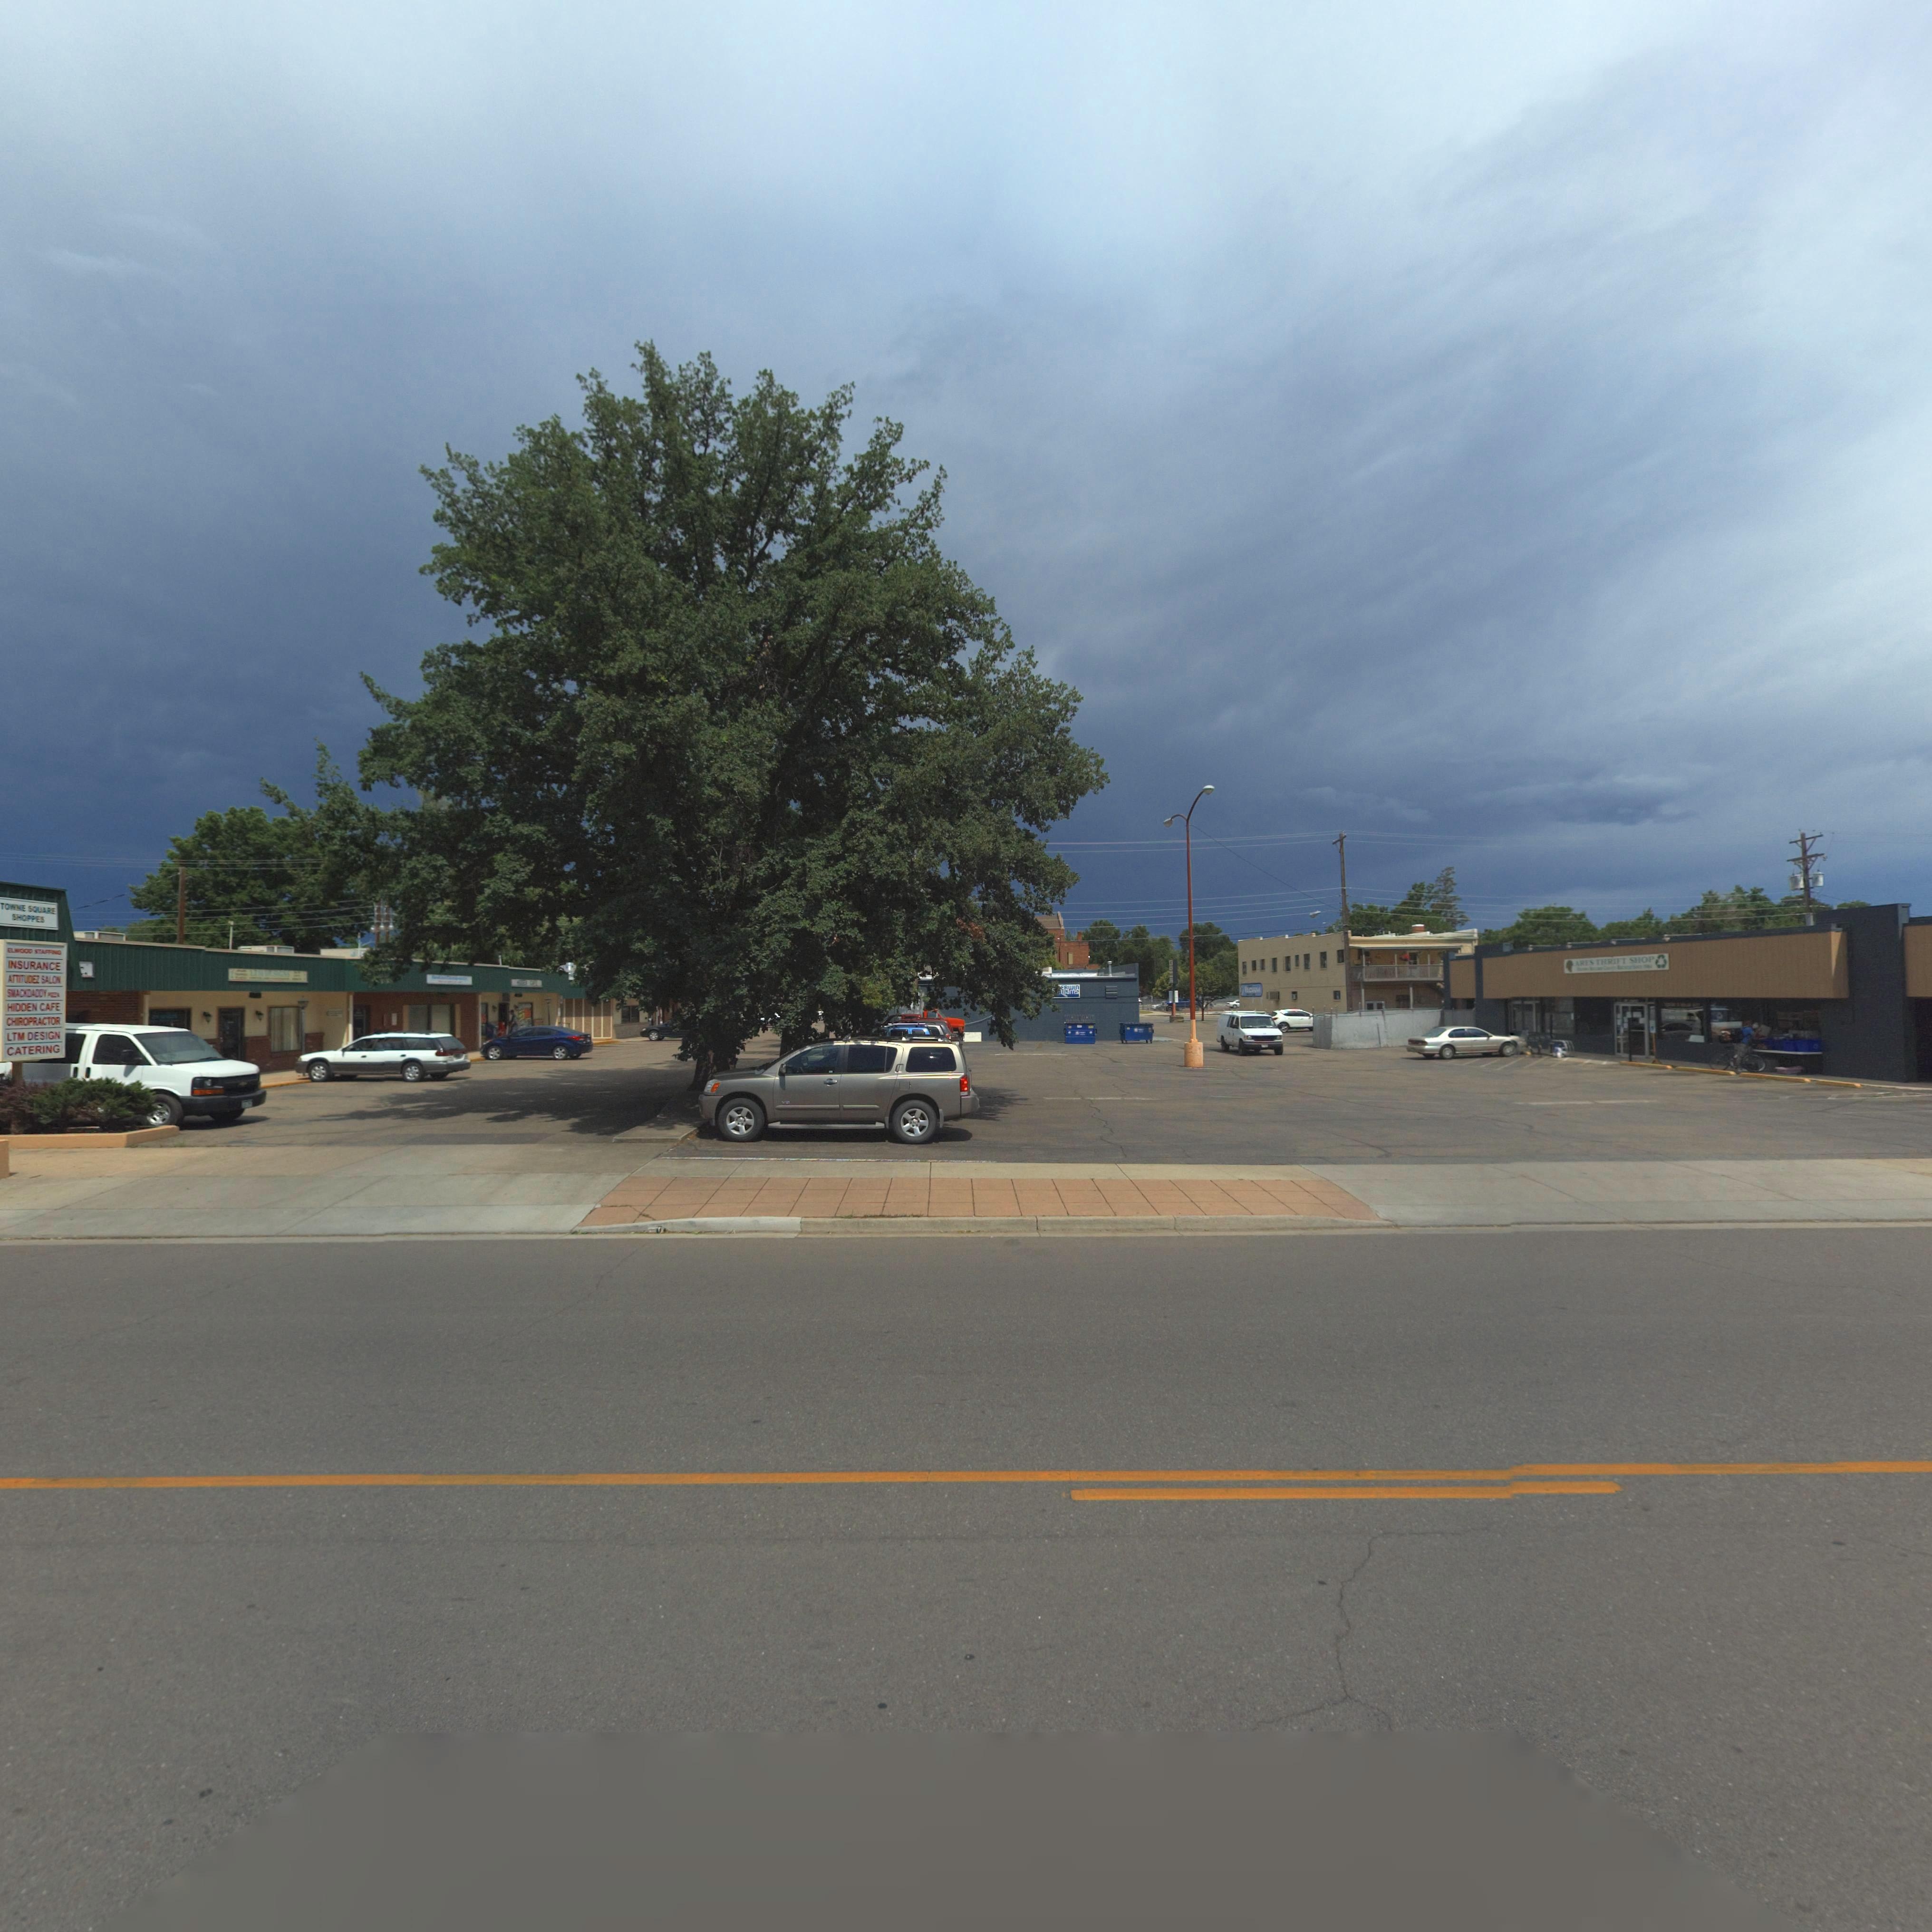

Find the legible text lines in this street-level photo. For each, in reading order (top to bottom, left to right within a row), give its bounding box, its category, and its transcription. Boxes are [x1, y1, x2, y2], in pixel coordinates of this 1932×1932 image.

[7, 947, 61, 955] BusinessName: ***WOOD S*A****G
[1575, 956, 1654, 966] BusinessName: ARES THRIFT SHOP
[7, 974, 61, 984] BusinessName: ATTITUDEZ SALON
[6, 988, 47, 998] BusinessName: SMACKDADDY
[1053, 985, 1079, 989] BusinessName: **ERWIn
[1060, 989, 1079, 994] BusinessName: llIAMS
[7, 1002, 60, 1012] BusinessName: HIDDEN CAFE
[7, 1031, 60, 1042] BusinessName: LTM DESIGN